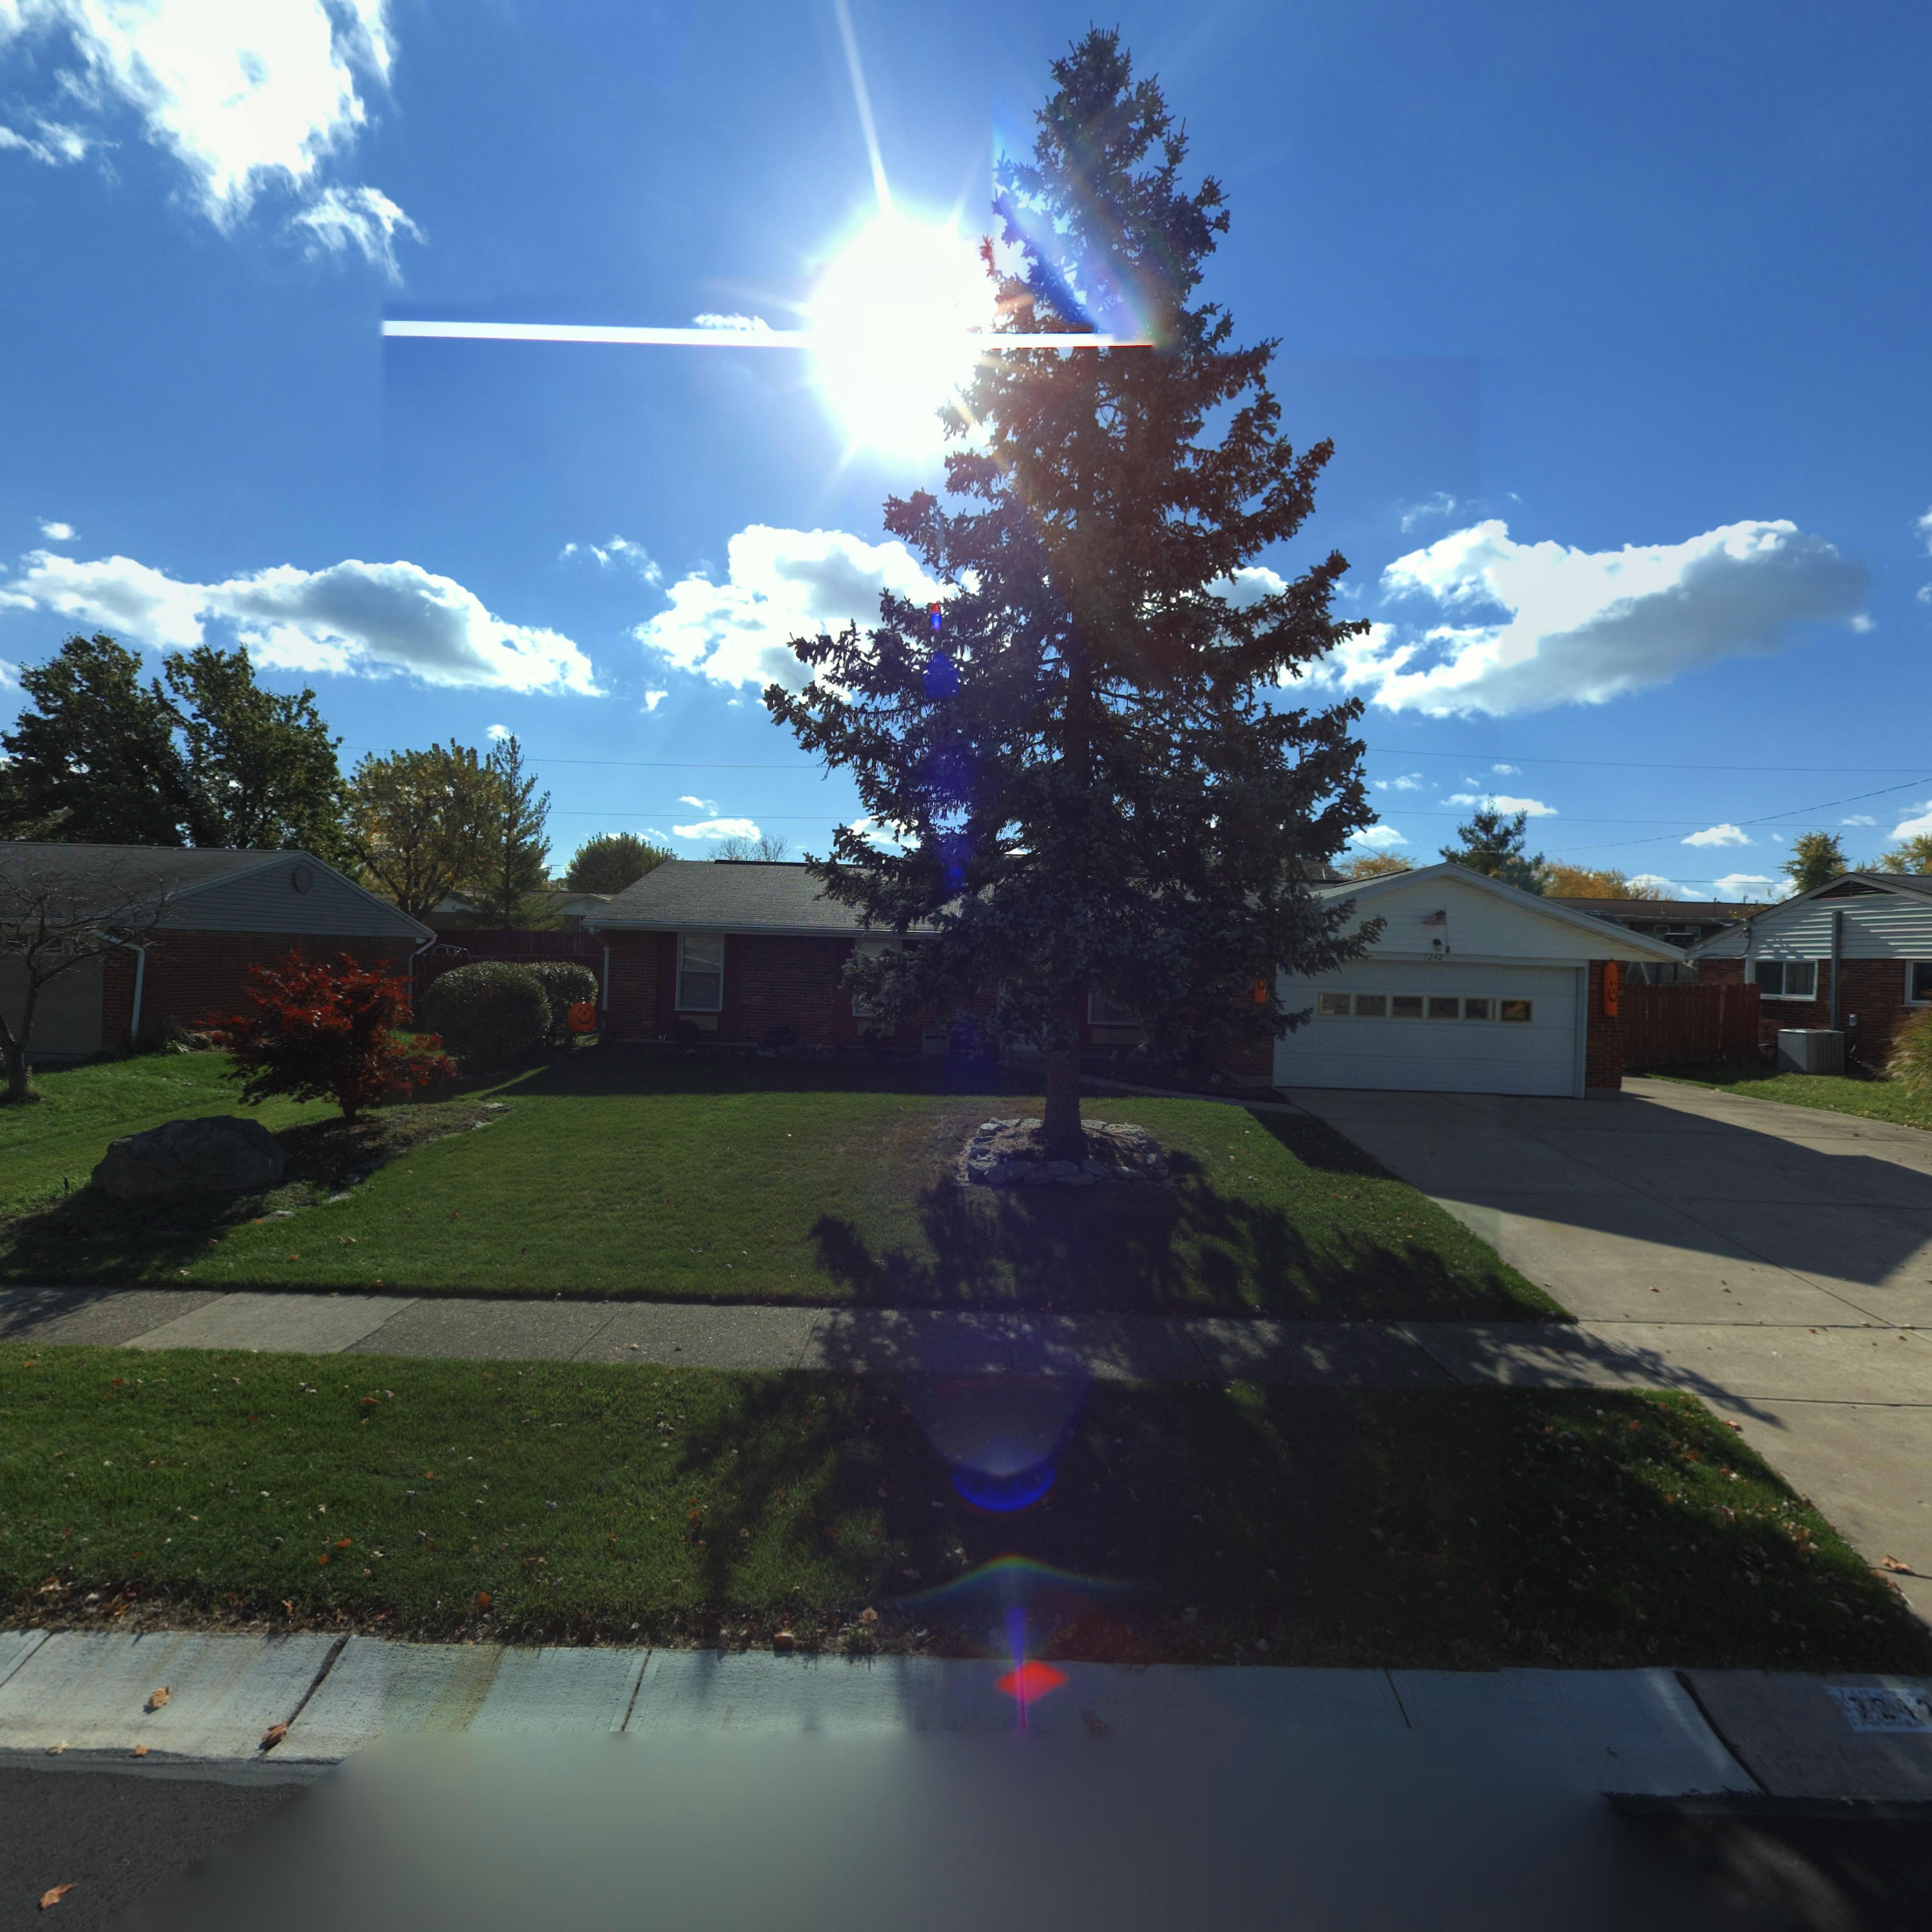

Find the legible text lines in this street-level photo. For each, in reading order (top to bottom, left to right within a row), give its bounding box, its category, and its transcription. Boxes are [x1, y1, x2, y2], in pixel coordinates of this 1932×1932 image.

[1422, 953, 1444, 962] StreetNumber: *242
[1846, 1696, 1922, 1721] StreetNumber: 721